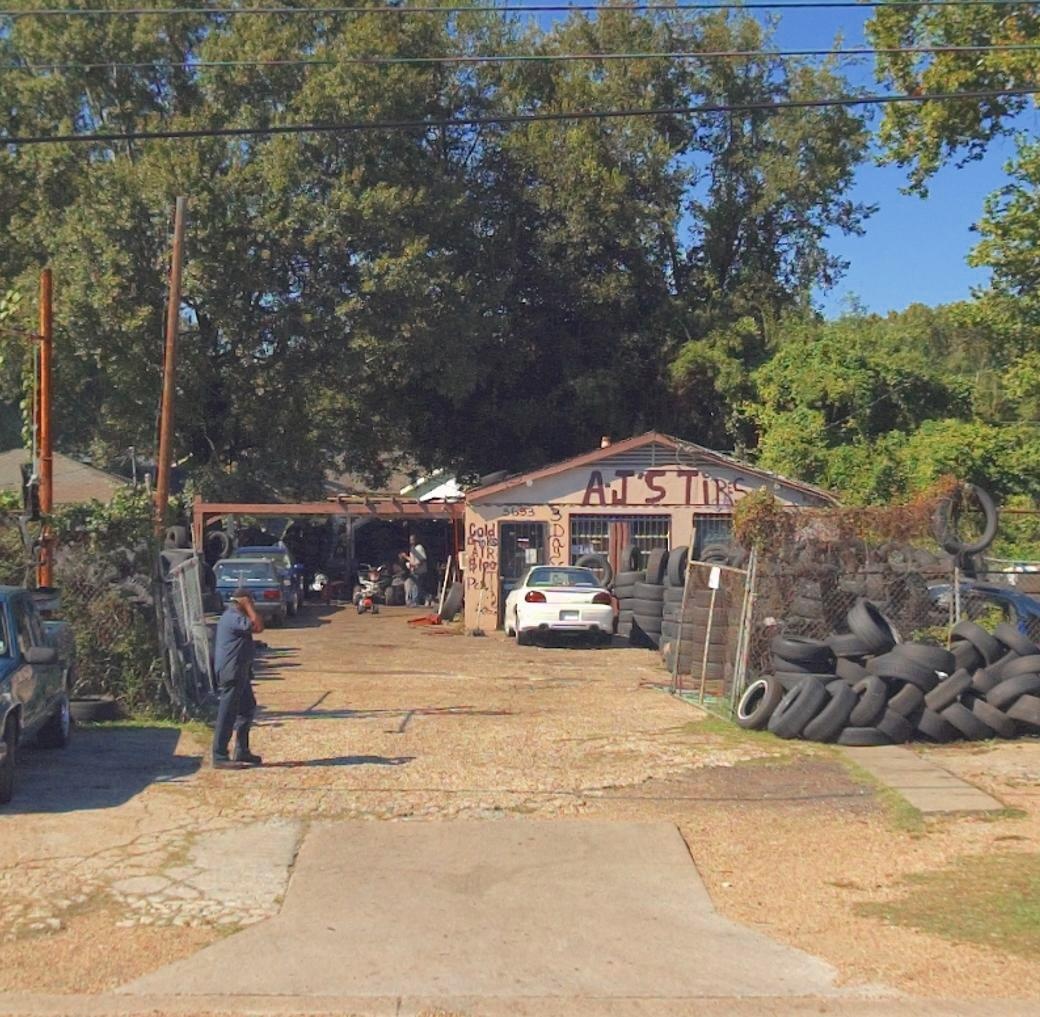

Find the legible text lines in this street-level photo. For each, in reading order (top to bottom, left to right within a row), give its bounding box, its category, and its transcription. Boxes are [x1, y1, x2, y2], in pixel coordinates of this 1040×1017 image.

[579, 468, 750, 508] BusinessName: A*J'S TiRES
[500, 506, 536, 517] StreetNumber: 5633
[548, 507, 564, 523] None: 3
[468, 520, 496, 538] None: Gold
[552, 523, 566, 538] None: D
[466, 536, 499, 548] None: Brakes
[470, 546, 496, 560] None: AIR
[478, 558, 497, 573] None: 100
[466, 576, 480, 592] None: Pe